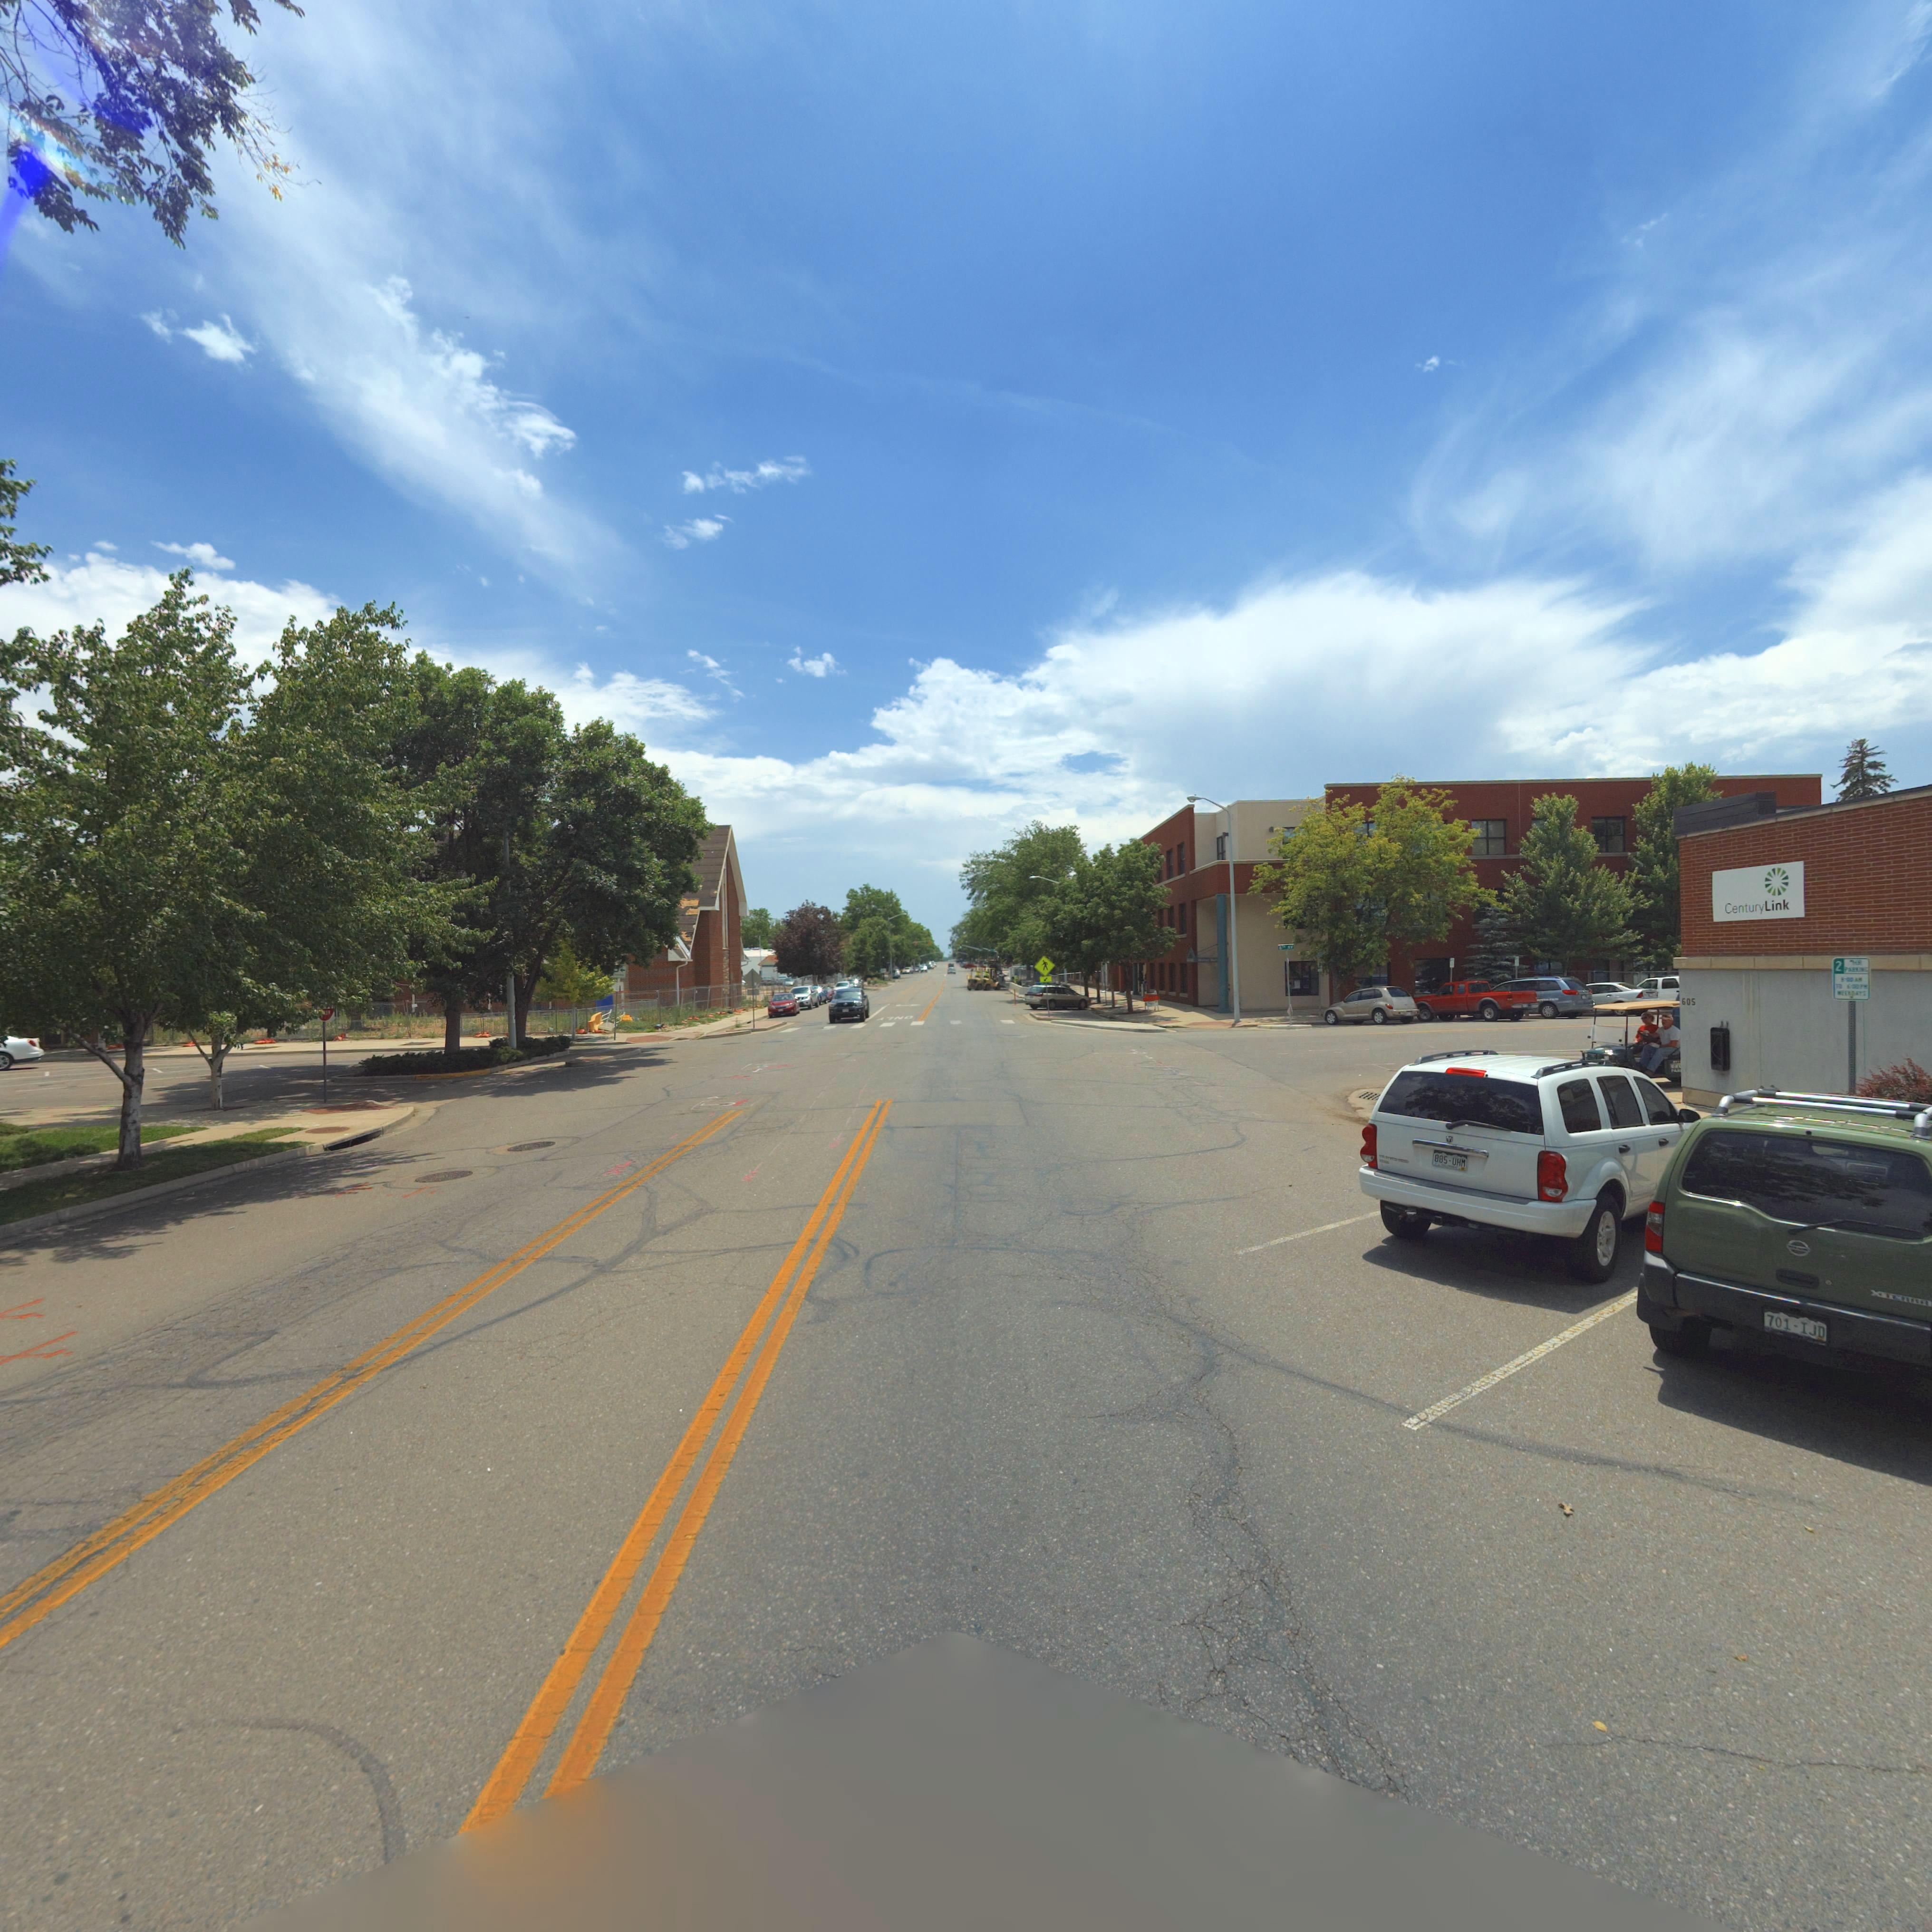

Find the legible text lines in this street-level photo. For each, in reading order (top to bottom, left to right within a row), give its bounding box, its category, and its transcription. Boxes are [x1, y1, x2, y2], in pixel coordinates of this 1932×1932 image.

[1724, 899, 1789, 914] BusinessName: CenturyLink
[1278, 945, 1293, 950] StreetName: 6TH A*
[1682, 997, 1695, 1005] StreetNumber: 605